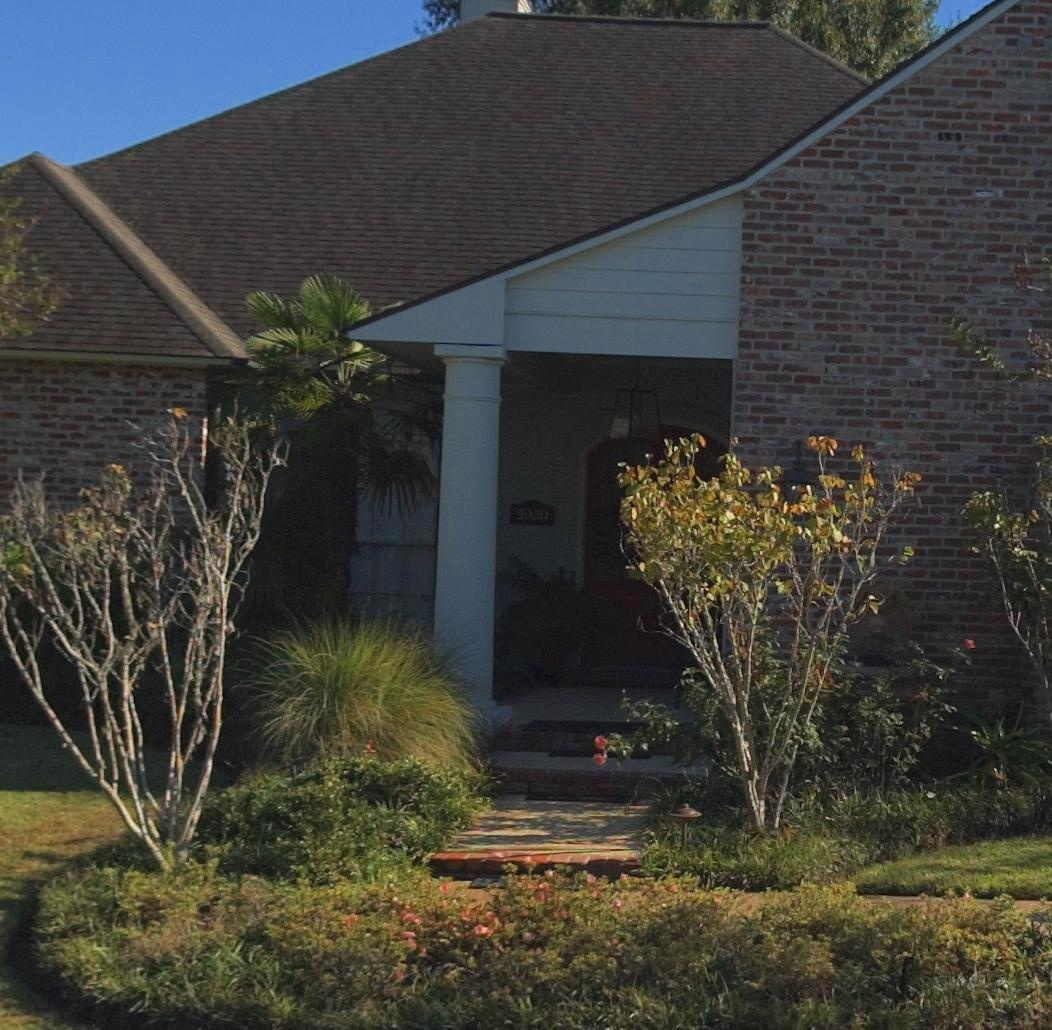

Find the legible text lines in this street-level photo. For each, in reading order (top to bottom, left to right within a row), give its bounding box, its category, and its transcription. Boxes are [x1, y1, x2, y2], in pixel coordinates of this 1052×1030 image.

[513, 506, 551, 523] StreetNumber: 2020